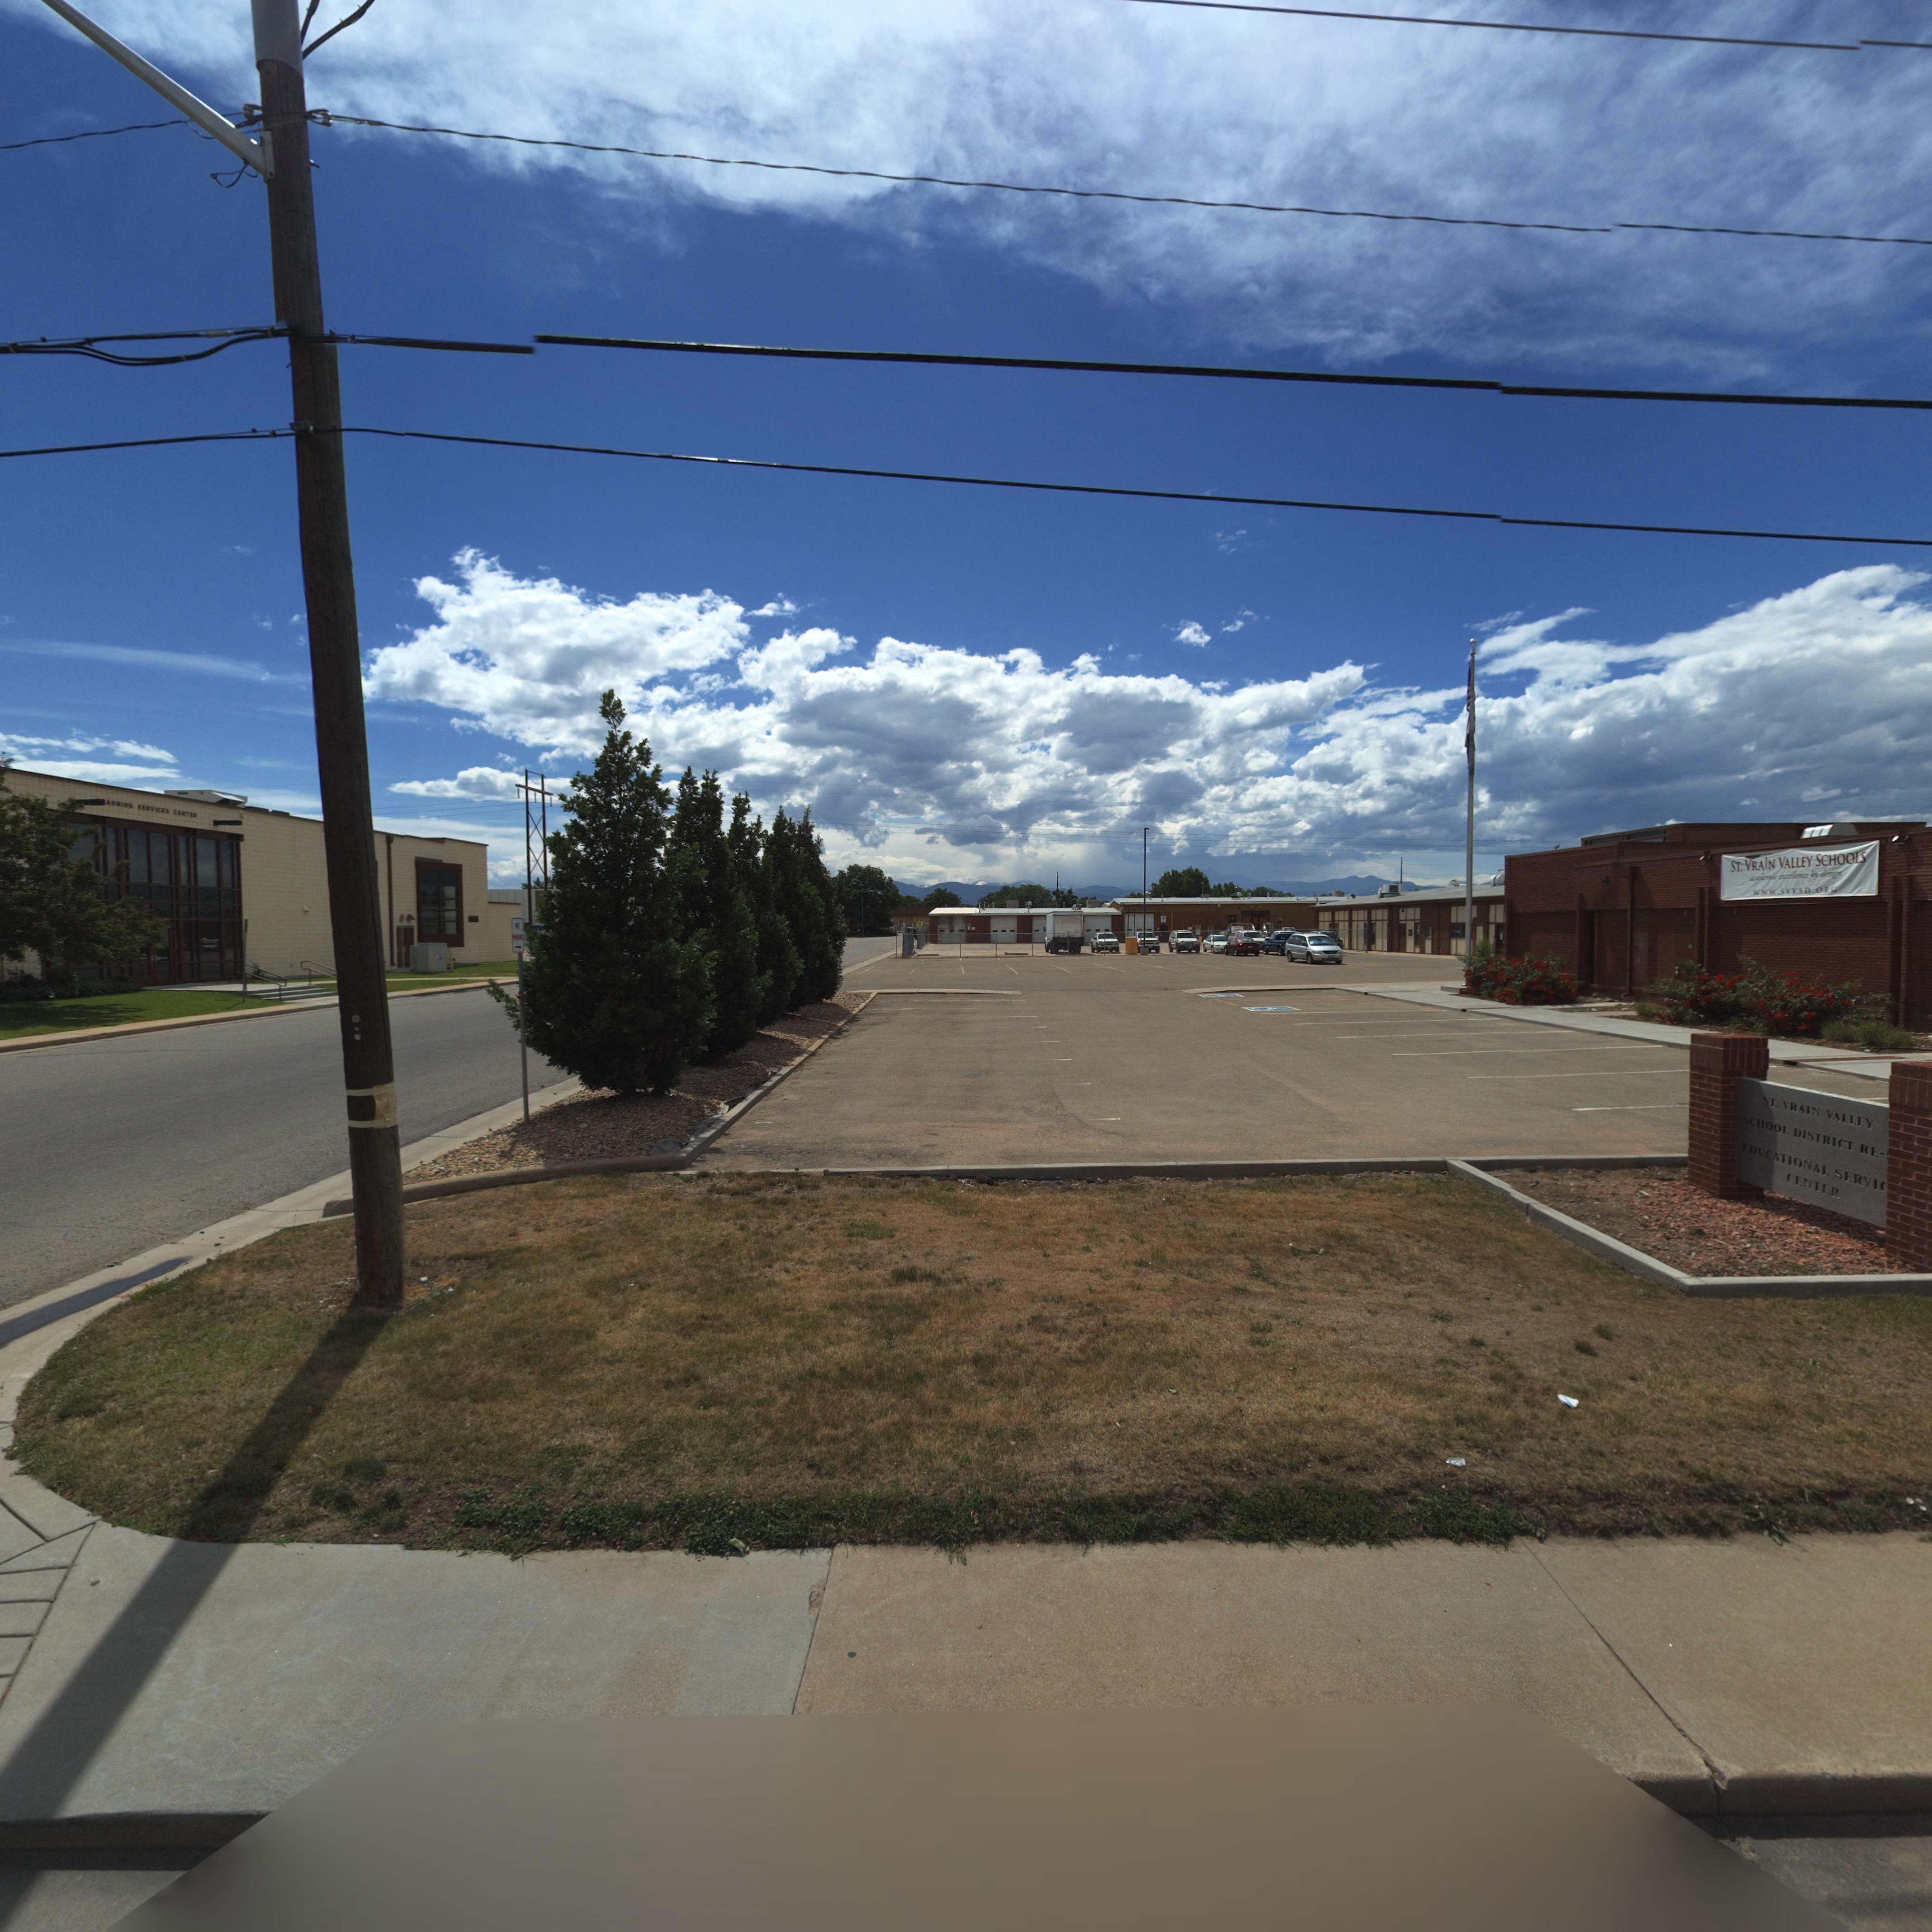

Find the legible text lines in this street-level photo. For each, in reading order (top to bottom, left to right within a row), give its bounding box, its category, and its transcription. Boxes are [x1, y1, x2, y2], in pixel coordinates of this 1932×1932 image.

[105, 799, 197, 818] BusinessName: ARNING SERVICES CENTER
[1730, 851, 1866, 872] BusinessName: ST. VRAIN VALLEY SCHOOLS
[1762, 1095, 1874, 1129] BusinessName: ST. VRAIN VALLEY
[1742, 1115, 1879, 1158] BusinessName: SCHOOL DISTRICT RE
[1741, 1141, 1889, 1193] BusinessName: EDUCATIONAL SERVIC
[1786, 1173, 1841, 1198] BusinessName: CENTER